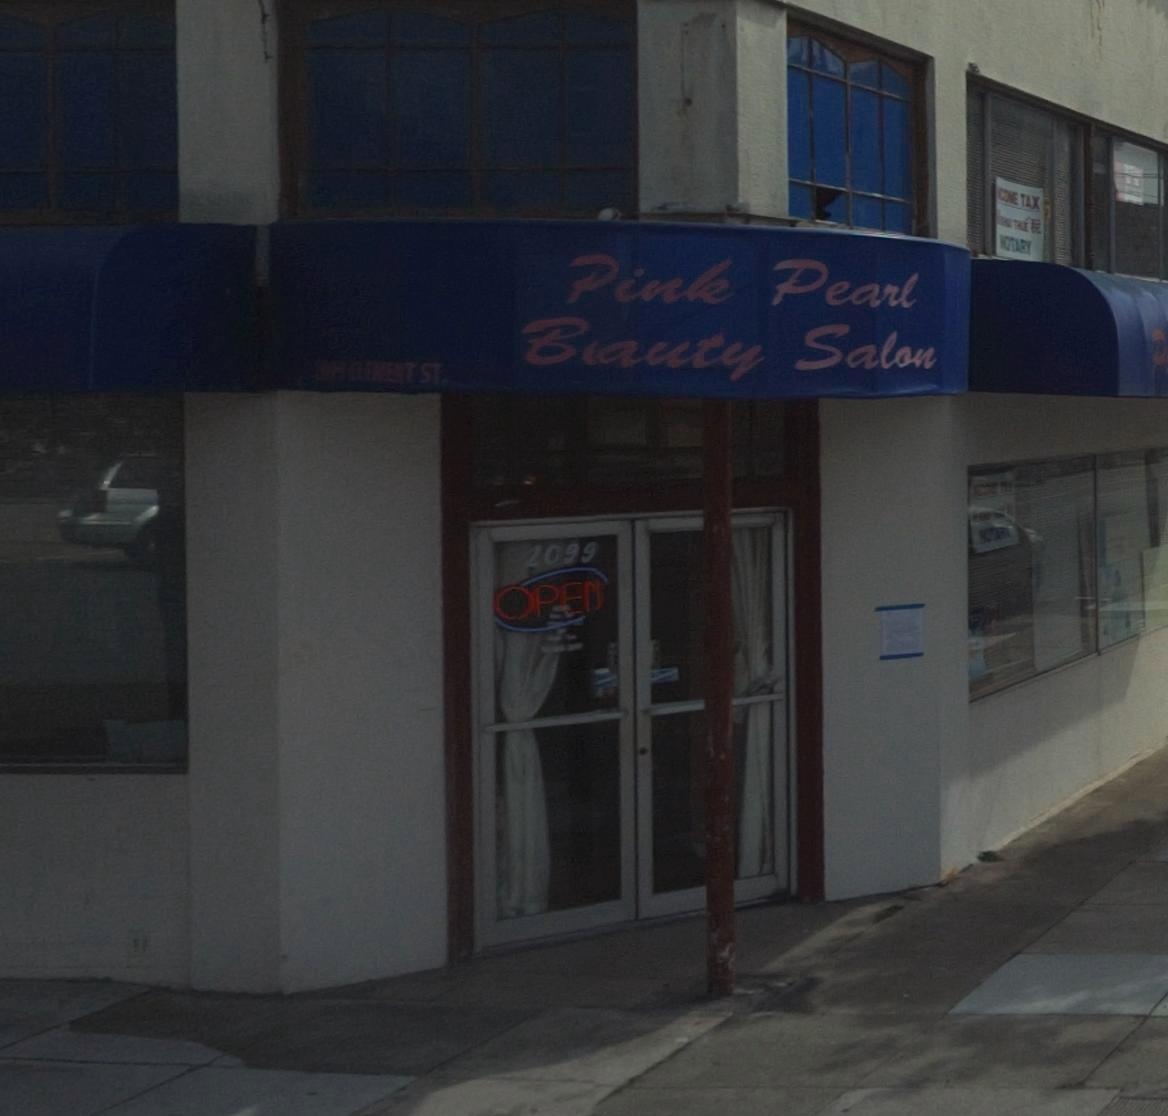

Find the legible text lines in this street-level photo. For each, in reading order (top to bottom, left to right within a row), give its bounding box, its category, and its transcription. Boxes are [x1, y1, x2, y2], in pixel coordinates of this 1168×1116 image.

[1019, 189, 1043, 212] None: TAX
[1004, 233, 1035, 259] None: OTARY
[563, 250, 921, 312] BusinessName: Pink Pearl
[345, 357, 448, 386] StreetName: CLEMENT ST
[520, 314, 942, 383] BusinessName: B*auty Salon
[1149, 325, 1168, 384] None: P
[523, 540, 600, 569] StreetNumber: 2099
[490, 575, 606, 624] None: OPEN